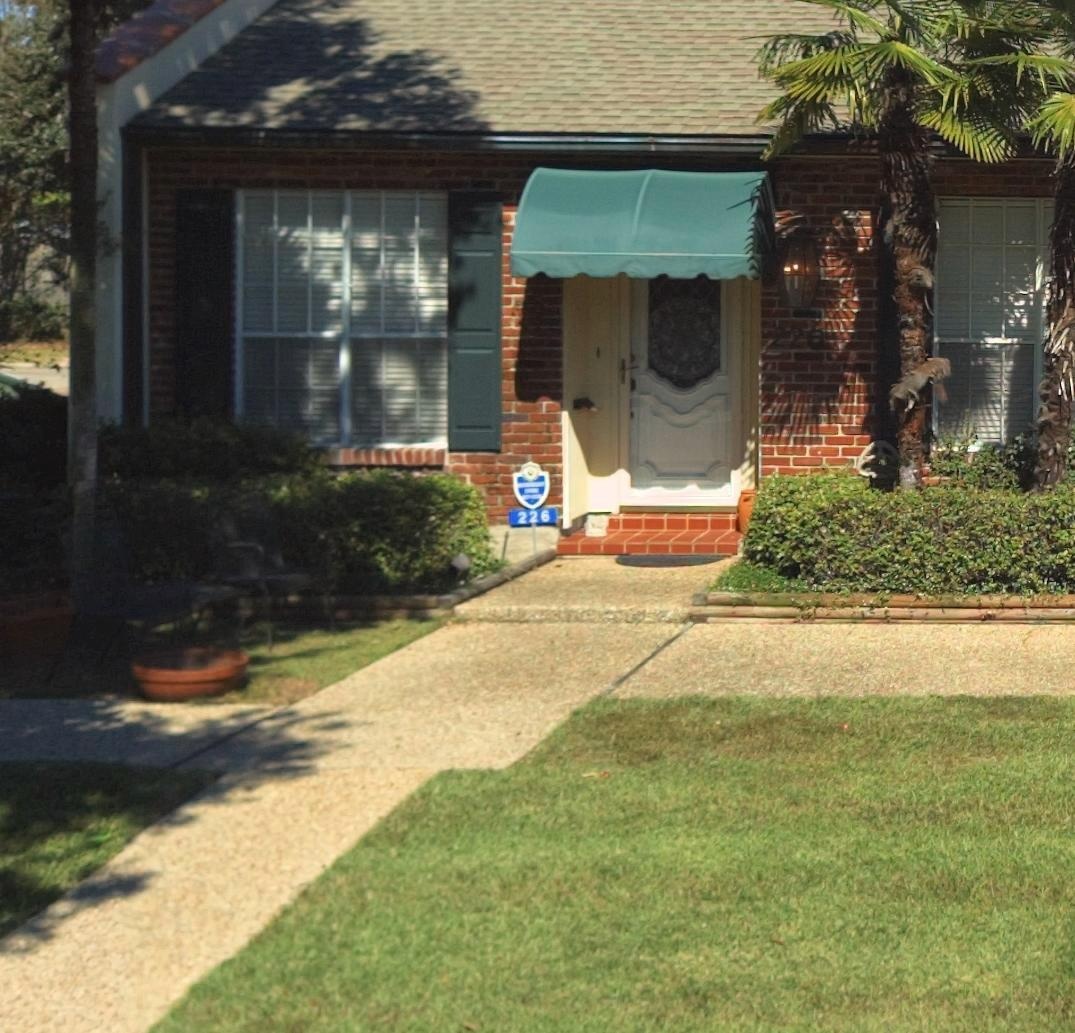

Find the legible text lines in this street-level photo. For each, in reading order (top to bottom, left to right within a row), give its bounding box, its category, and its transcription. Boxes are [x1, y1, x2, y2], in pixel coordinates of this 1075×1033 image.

[515, 508, 551, 526] StreetNumber: 226